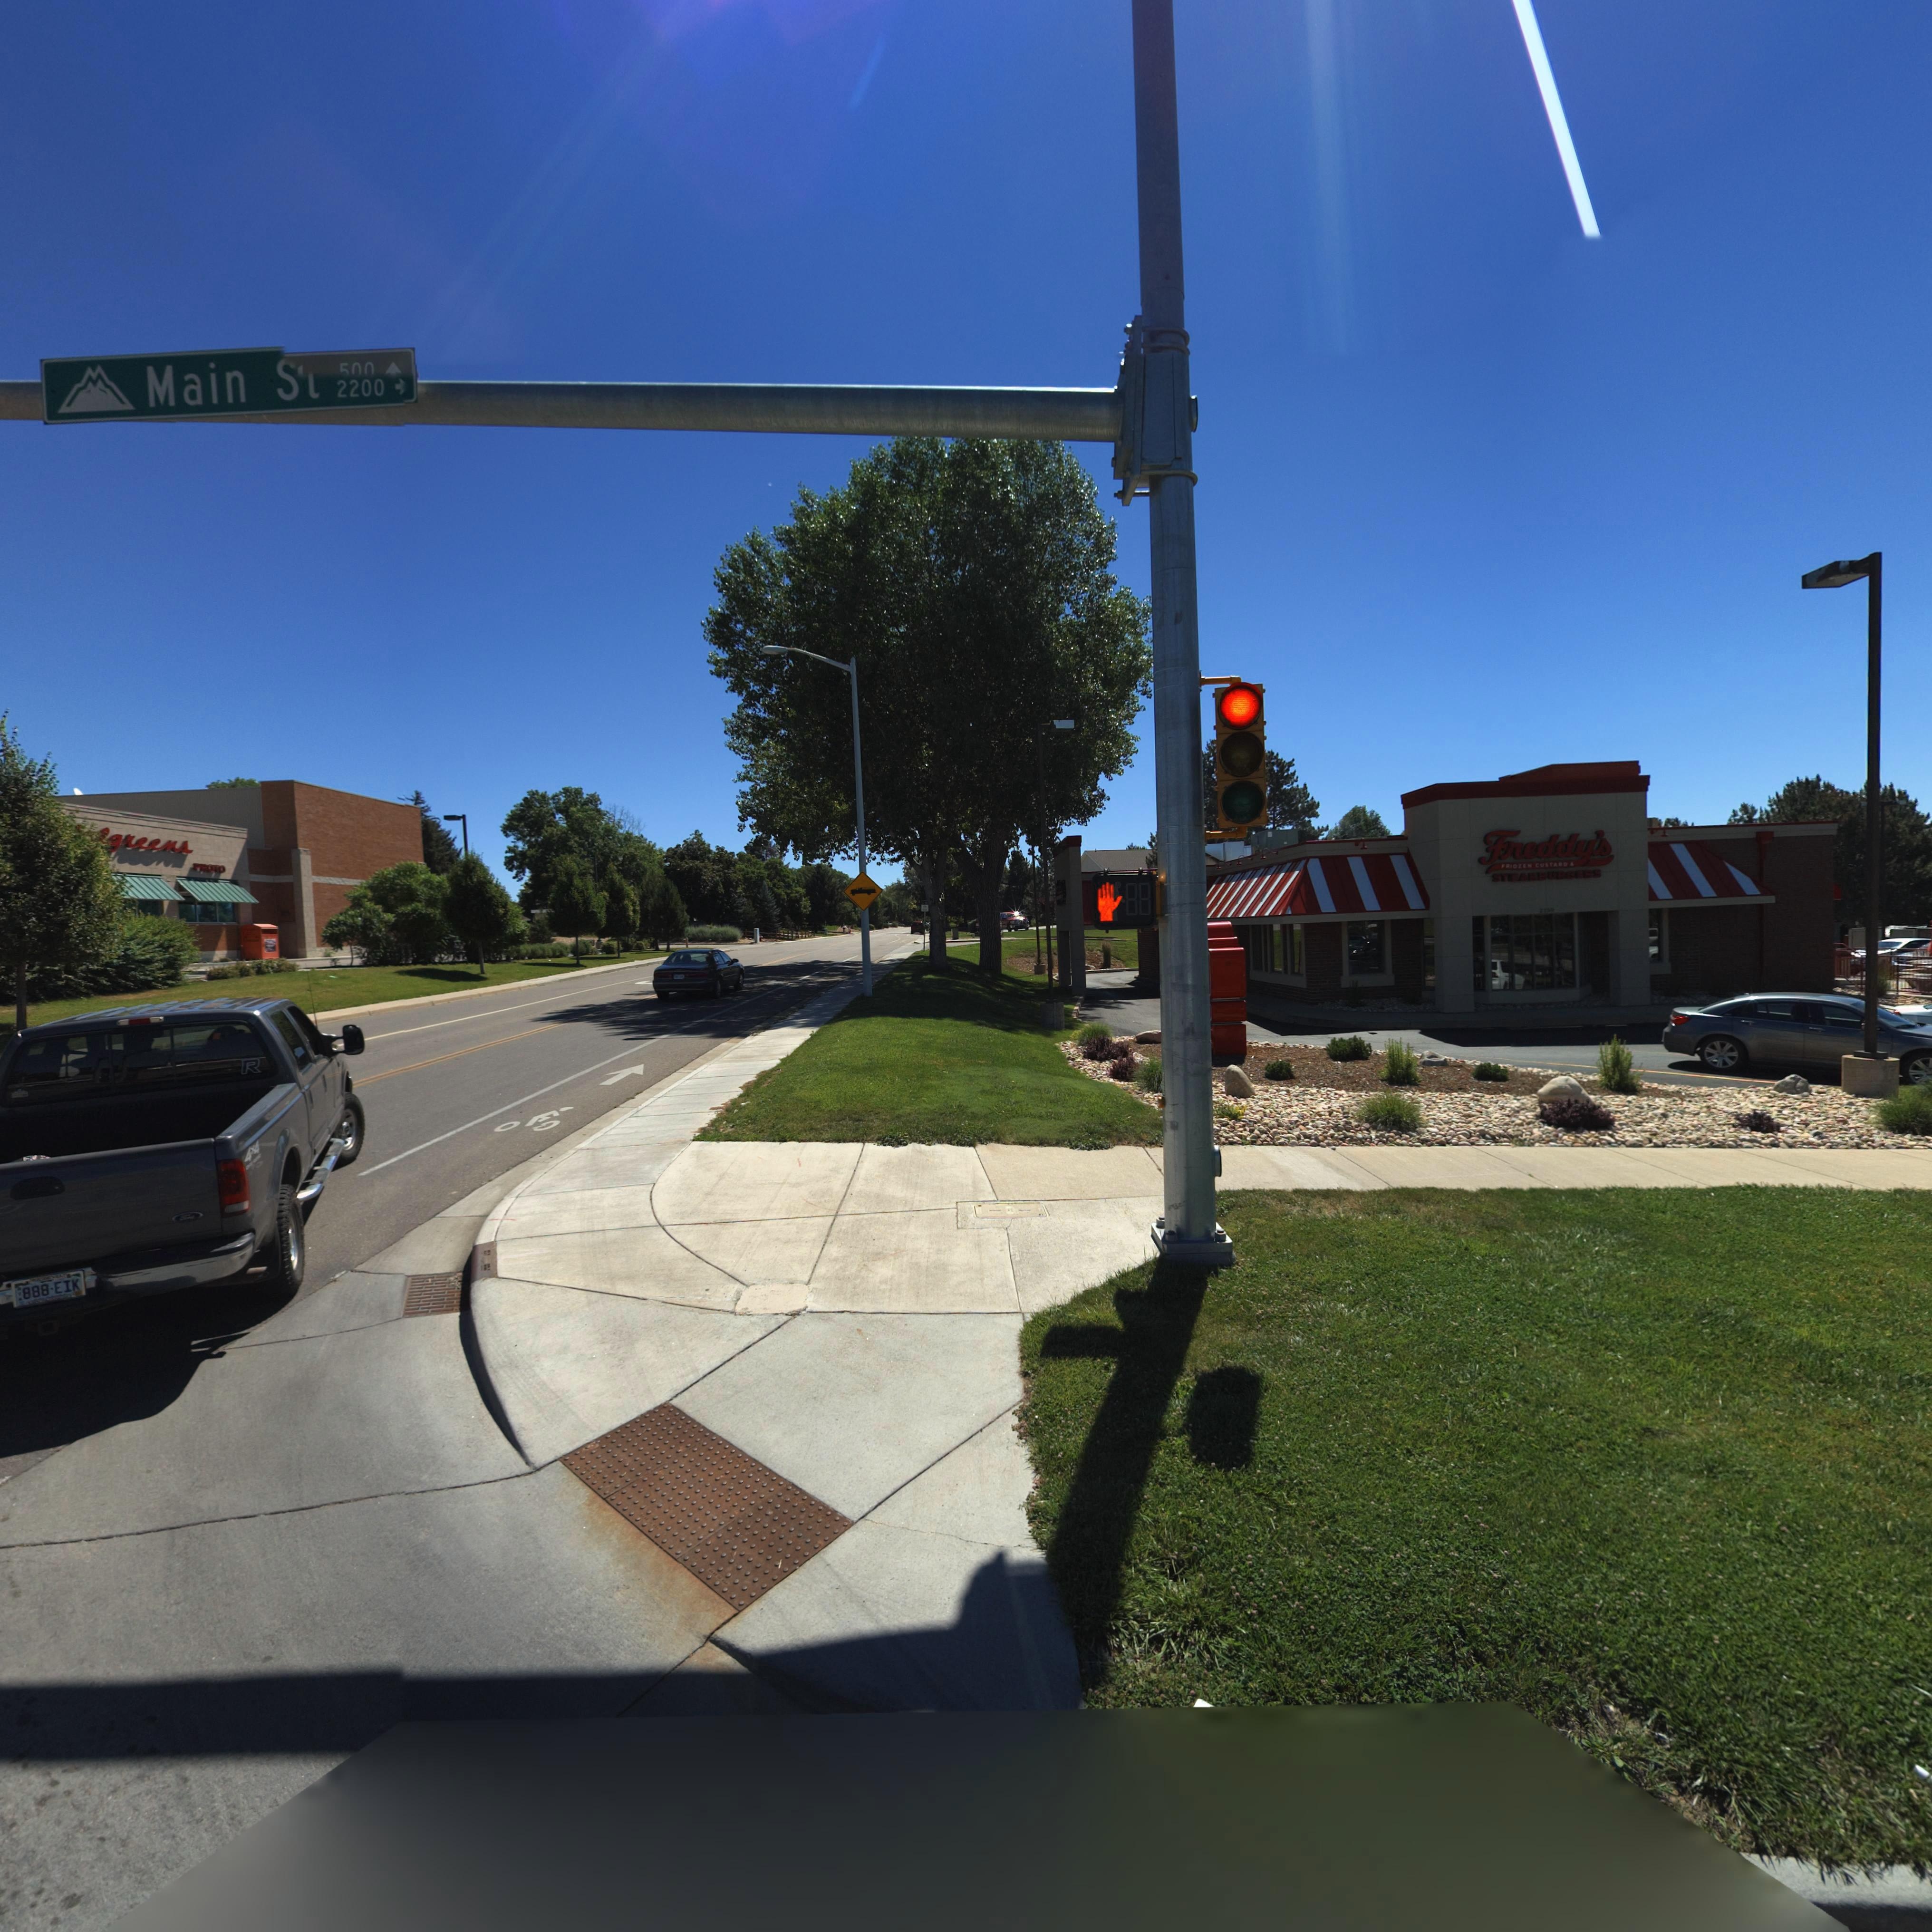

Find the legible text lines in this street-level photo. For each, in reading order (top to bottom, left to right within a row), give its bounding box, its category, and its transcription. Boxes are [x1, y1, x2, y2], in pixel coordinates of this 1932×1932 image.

[338, 360, 376, 379] StreetNumberRange: 500
[145, 357, 323, 409] StreetName: Main S*
[337, 377, 411, 398] StreetNumberRange: 2200->
[74, 822, 194, 855] BusinessName: **lgreens
[1477, 828, 1613, 868] BusinessName: Freddy's
[1501, 861, 1574, 869] BusinessName: FR*OZEN CUSTARD &
[1491, 868, 1602, 883] StreetNumber: STEAKBURGERS
[1539, 907, 1555, 913] StreetNumber: 2*50